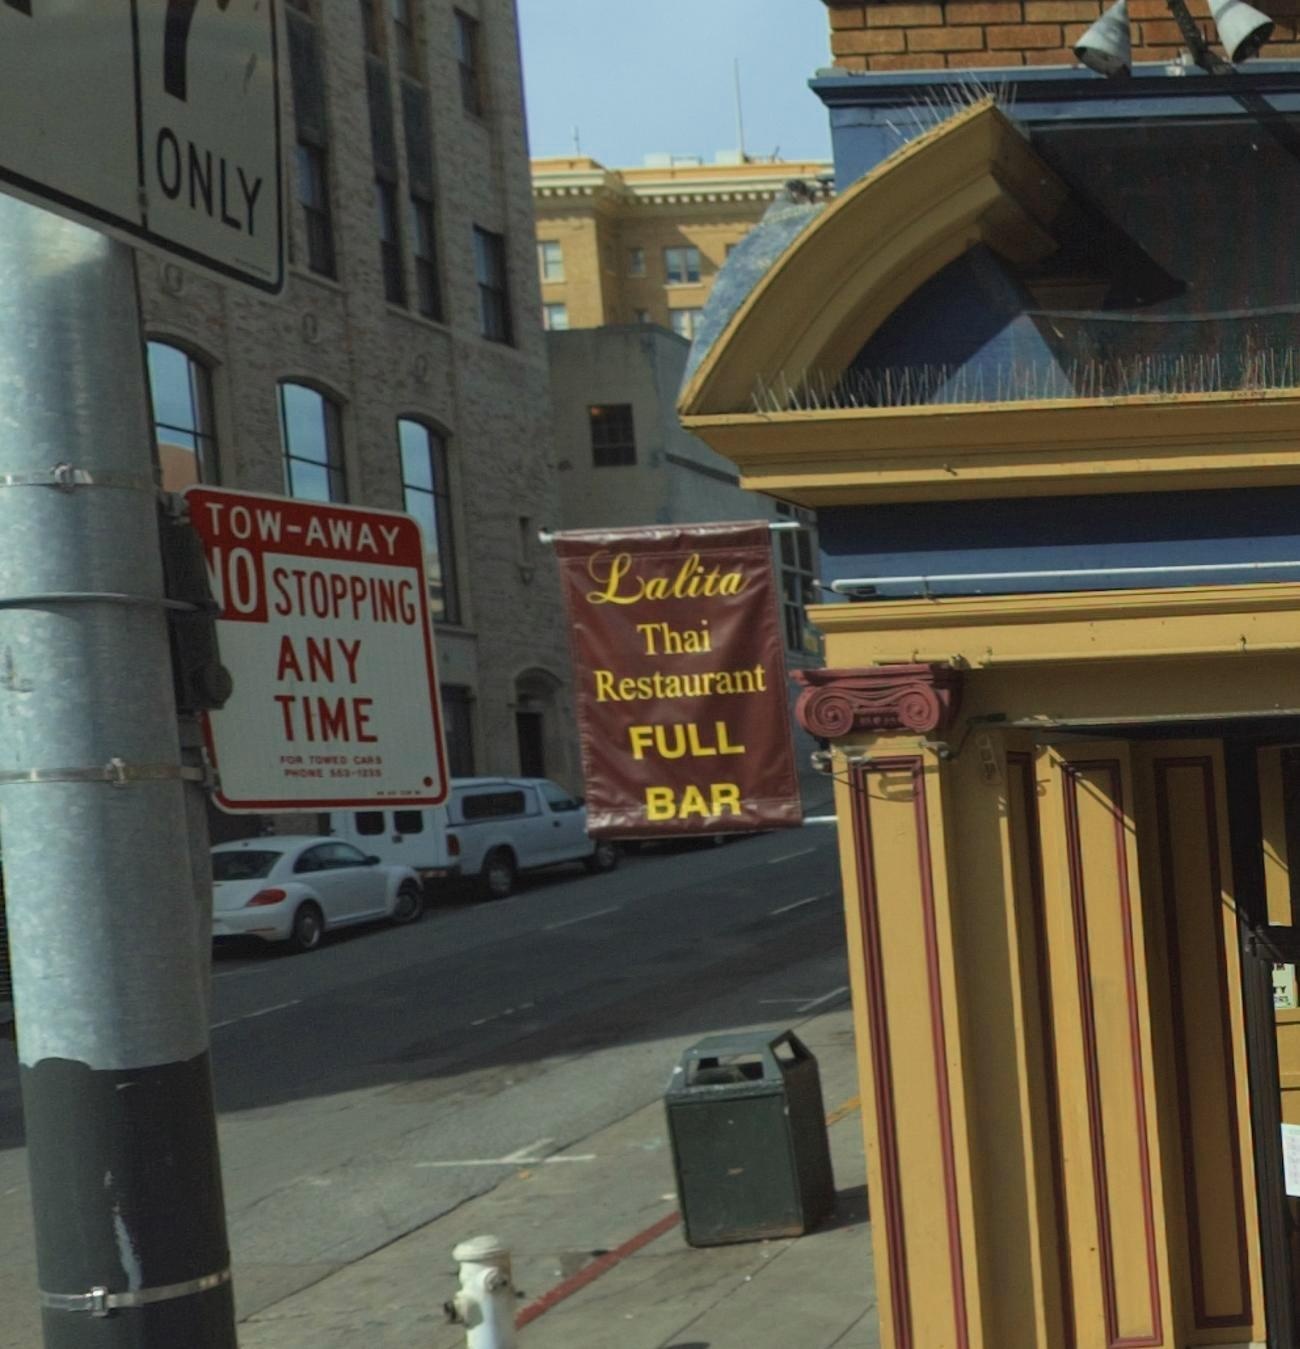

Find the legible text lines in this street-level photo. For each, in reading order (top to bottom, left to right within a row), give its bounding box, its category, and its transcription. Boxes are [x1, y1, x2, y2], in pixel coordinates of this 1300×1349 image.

[152, 122, 267, 241] None: ONLY
[197, 499, 404, 560] None: TOW-AWAY
[226, 545, 420, 629] None: O STOPPING
[583, 546, 746, 610] BusinessName: Lalita
[273, 631, 365, 687] None: ANY
[632, 614, 716, 659] BusinessName: Thai
[589, 659, 772, 706] BusinessName: Restaurant
[269, 691, 382, 745] None: TIME
[274, 751, 385, 768] None: *O* TOWED C**S
[625, 718, 749, 763] None: FULL
[641, 779, 745, 824] None: BAR
[1275, 983, 1289, 997] None: Y